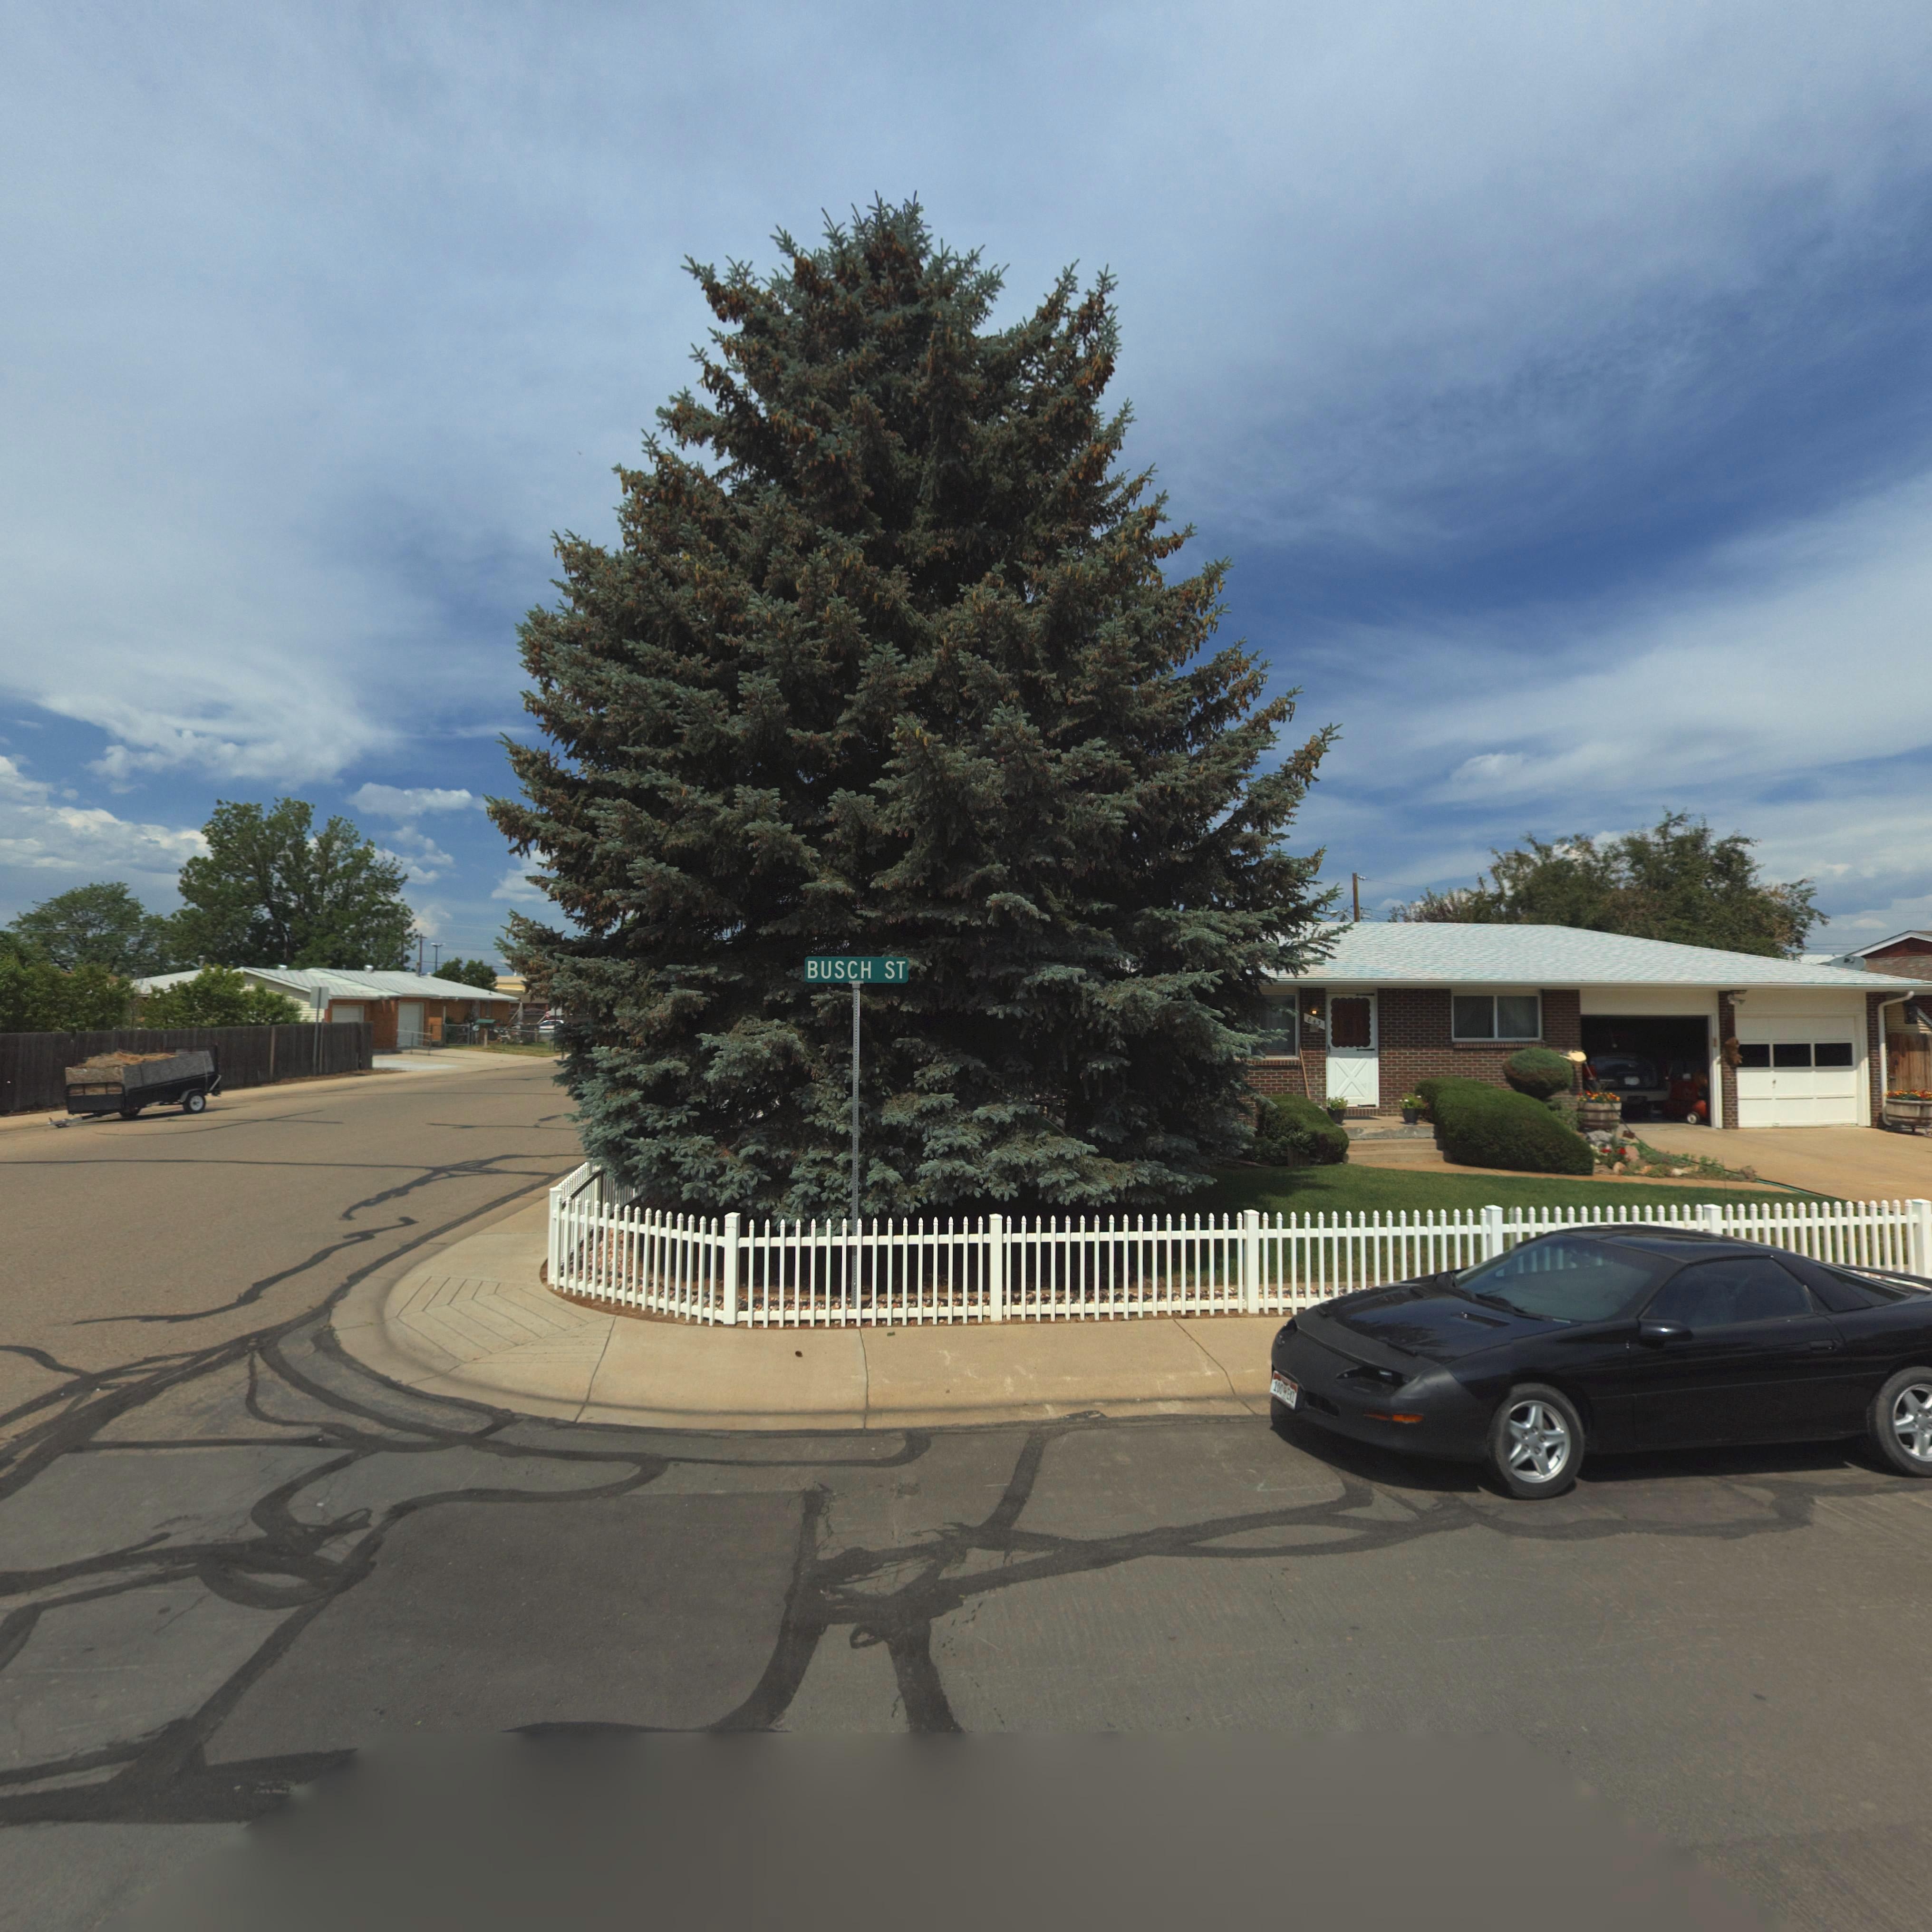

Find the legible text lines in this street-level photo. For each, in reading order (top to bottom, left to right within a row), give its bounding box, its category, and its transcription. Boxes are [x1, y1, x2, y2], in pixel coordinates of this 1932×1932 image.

[806, 959, 906, 979] StreetName: BUSCH ST
[1306, 1016, 1322, 1026] StreetNumber: 843